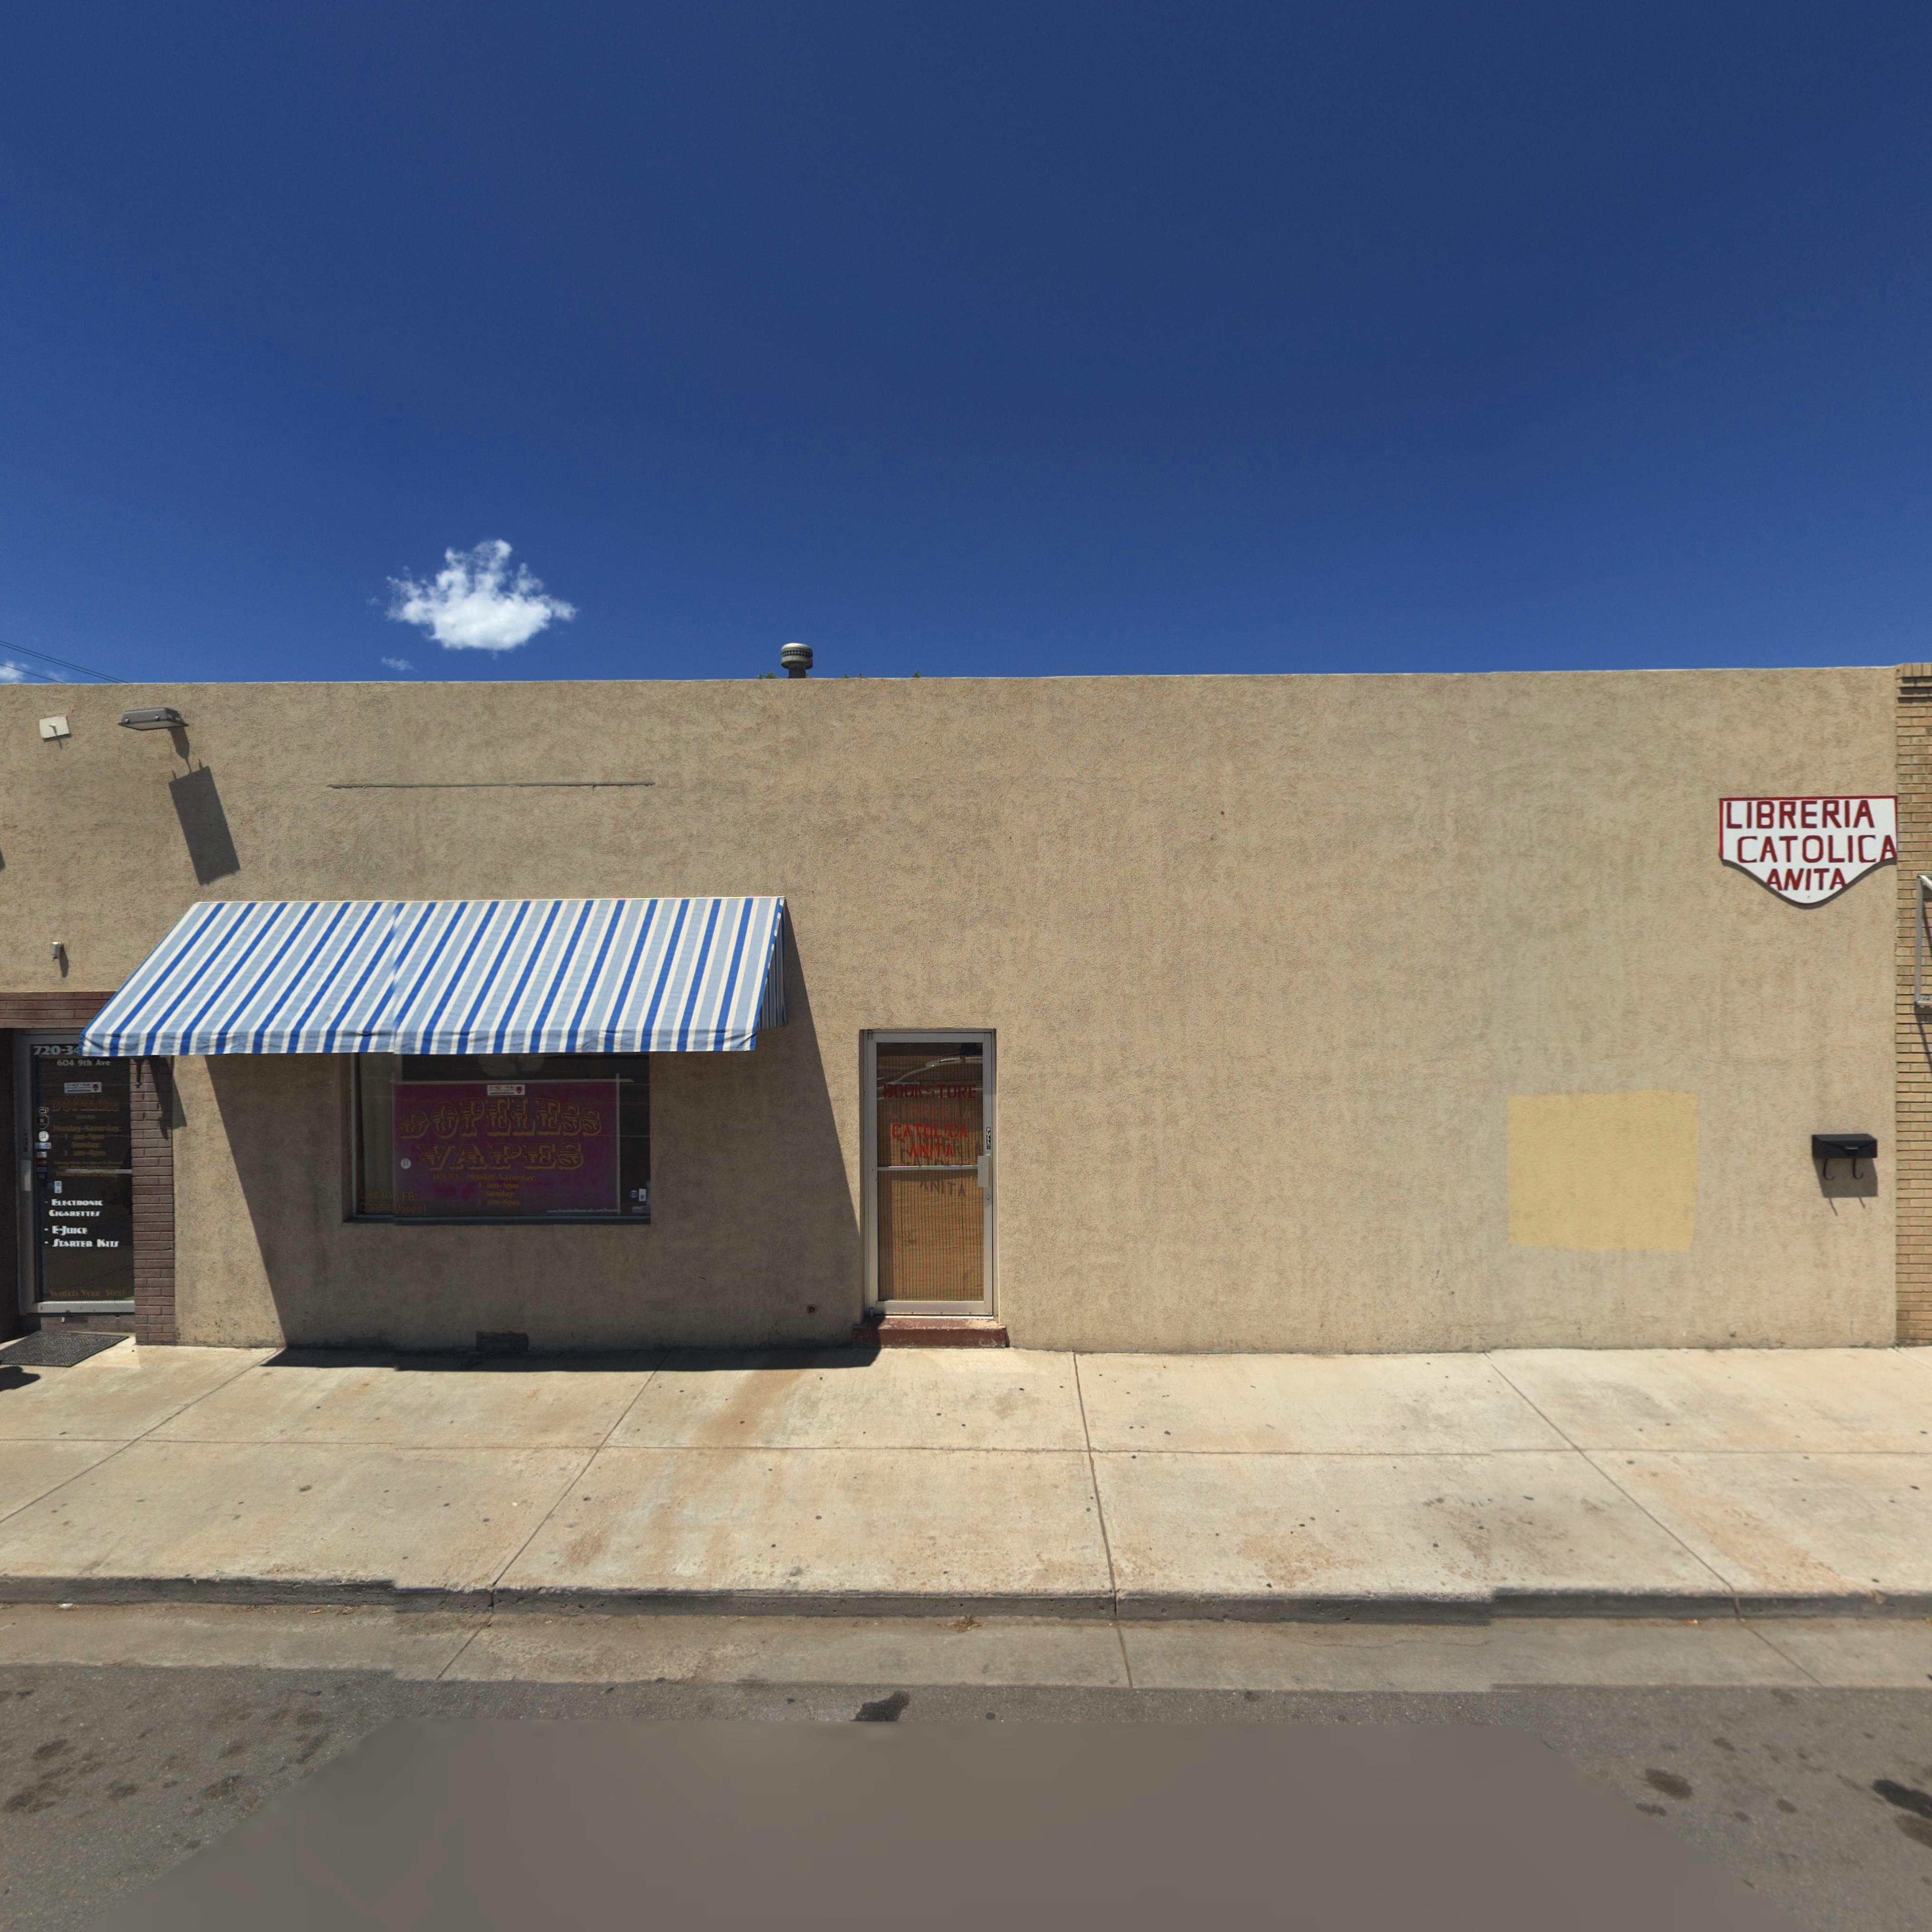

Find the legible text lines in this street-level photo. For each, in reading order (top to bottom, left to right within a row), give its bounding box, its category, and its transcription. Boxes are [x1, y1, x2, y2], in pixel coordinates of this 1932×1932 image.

[1725, 798, 1876, 829] BusinessName: LIBRERIA
[1736, 834, 1899, 863] BusinessName: CATOLICA
[1765, 867, 1847, 891] BusinessName: ANITA
[56, 1058, 75, 1066] StreetNumber: 604
[77, 1057, 111, 1066] StreetName: 9th Ave
[883, 1083, 976, 1098] BusinessName: BOOKSTORE
[51, 1094, 120, 1111] BusinessName: B******se
[76, 1114, 95, 1120] BusinessName: ***ES
[399, 1094, 603, 1139] BusinessName: DOPELESS
[889, 1103, 973, 1119] BusinessName: LI*RER*A
[891, 1122, 968, 1139] BusinessName: CATOLICA
[416, 1140, 584, 1170] BusinessName: VAPES
[908, 1142, 954, 1157] BusinessName: ANITA